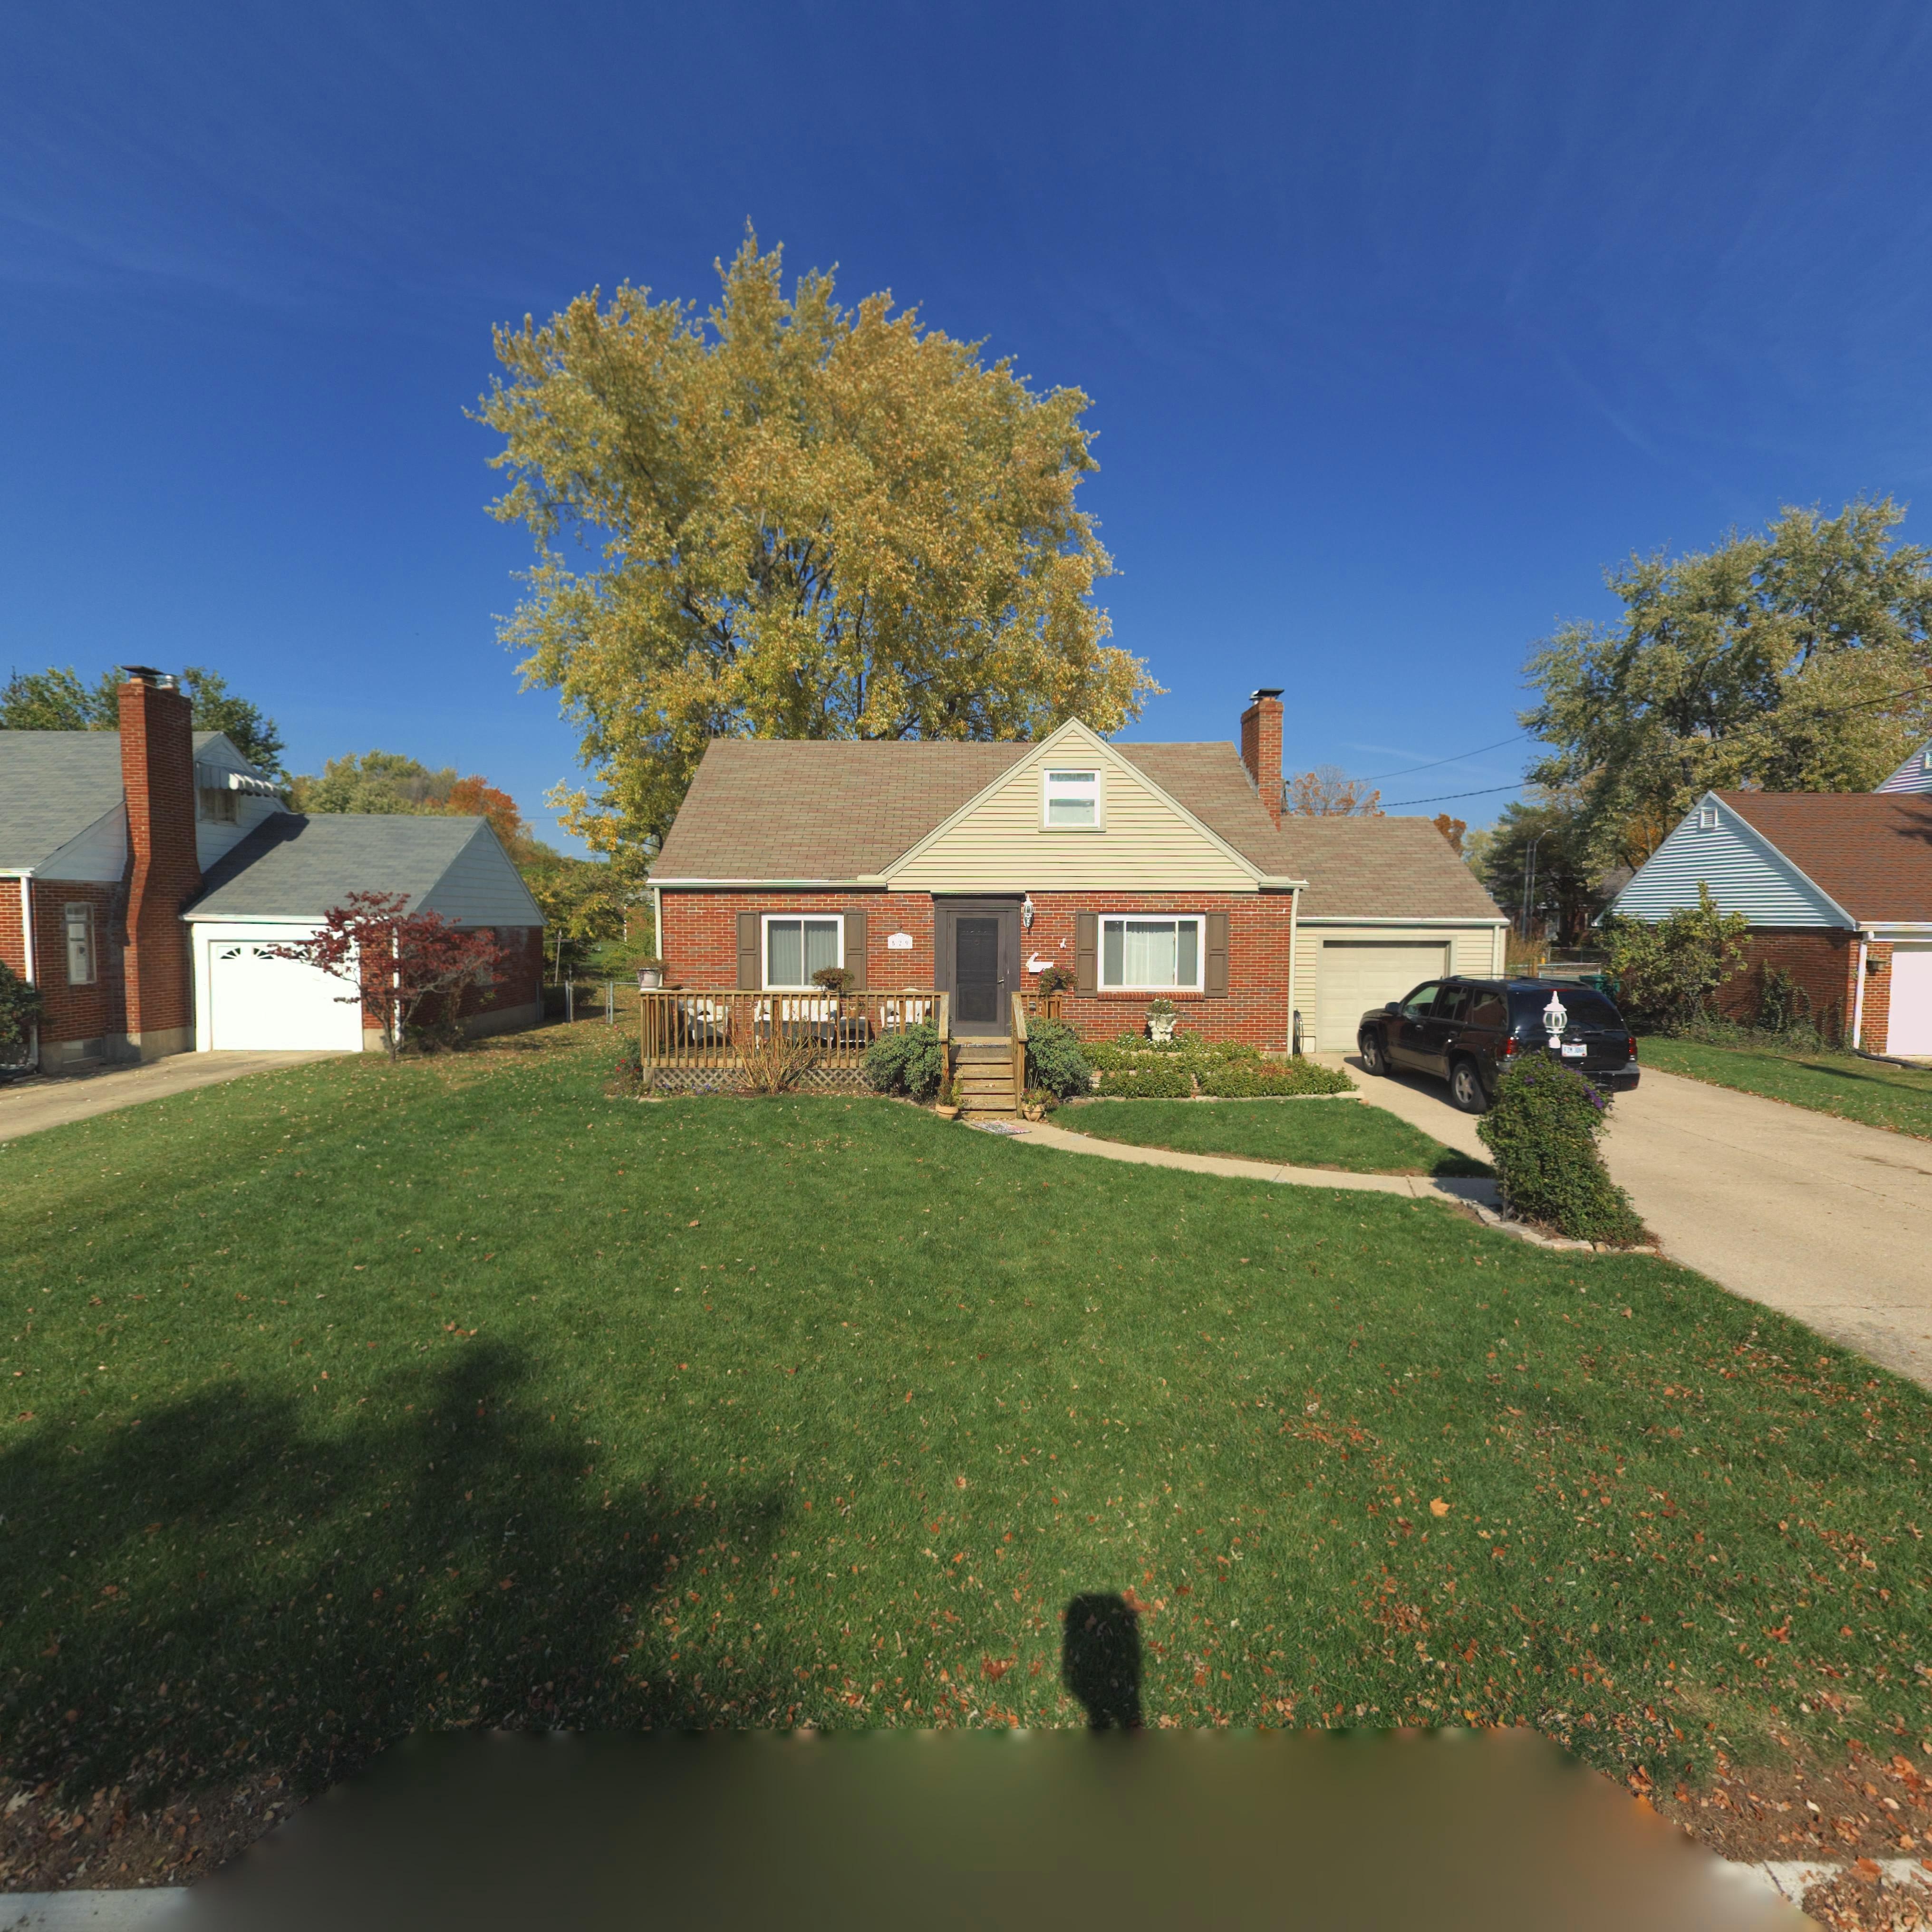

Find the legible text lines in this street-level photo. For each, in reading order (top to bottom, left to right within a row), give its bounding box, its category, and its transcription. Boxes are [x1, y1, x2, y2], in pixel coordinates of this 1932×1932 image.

[892, 940, 908, 946] StreetNumber: 529
[1563, 1046, 1585, 1053] None: FZM*3066